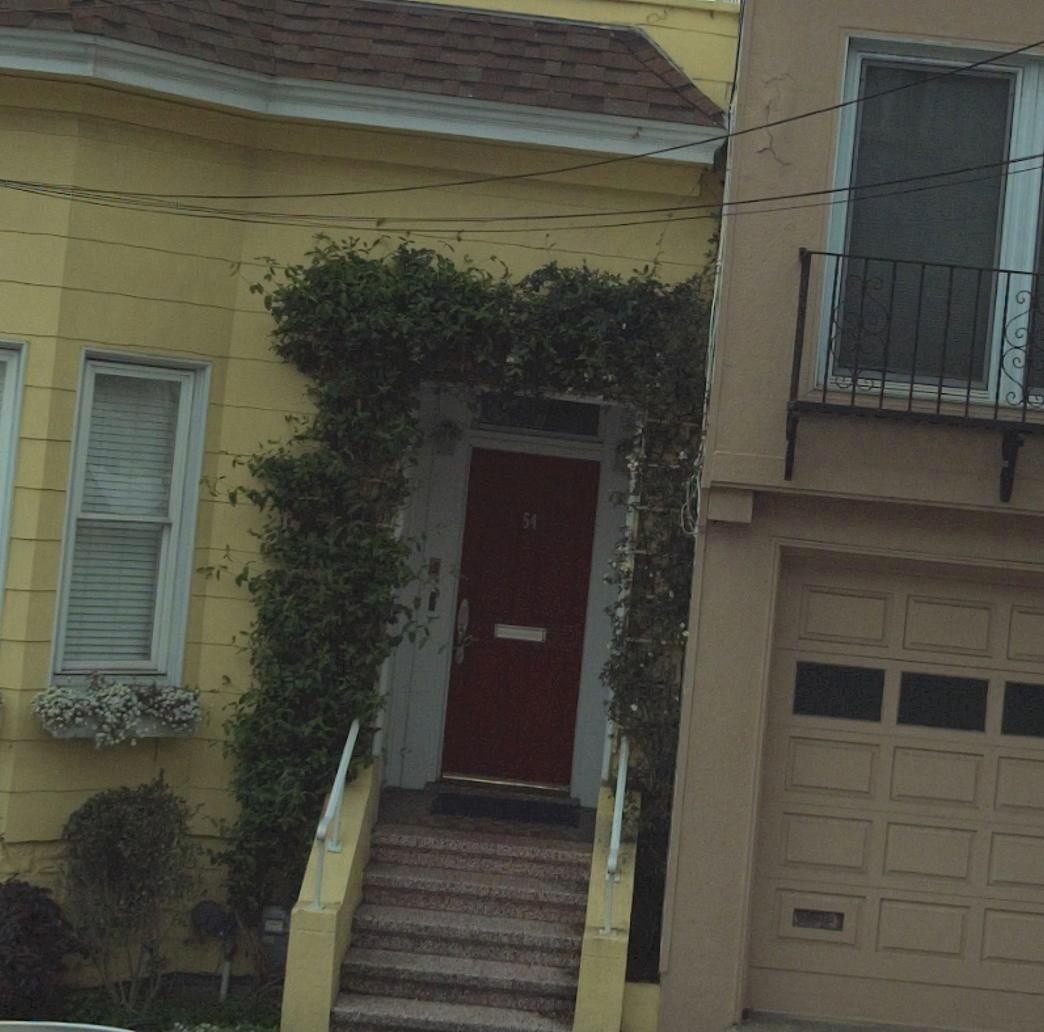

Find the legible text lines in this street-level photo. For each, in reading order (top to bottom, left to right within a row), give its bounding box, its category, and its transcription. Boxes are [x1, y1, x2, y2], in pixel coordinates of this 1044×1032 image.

[521, 511, 538, 530] StreetNumber: 54